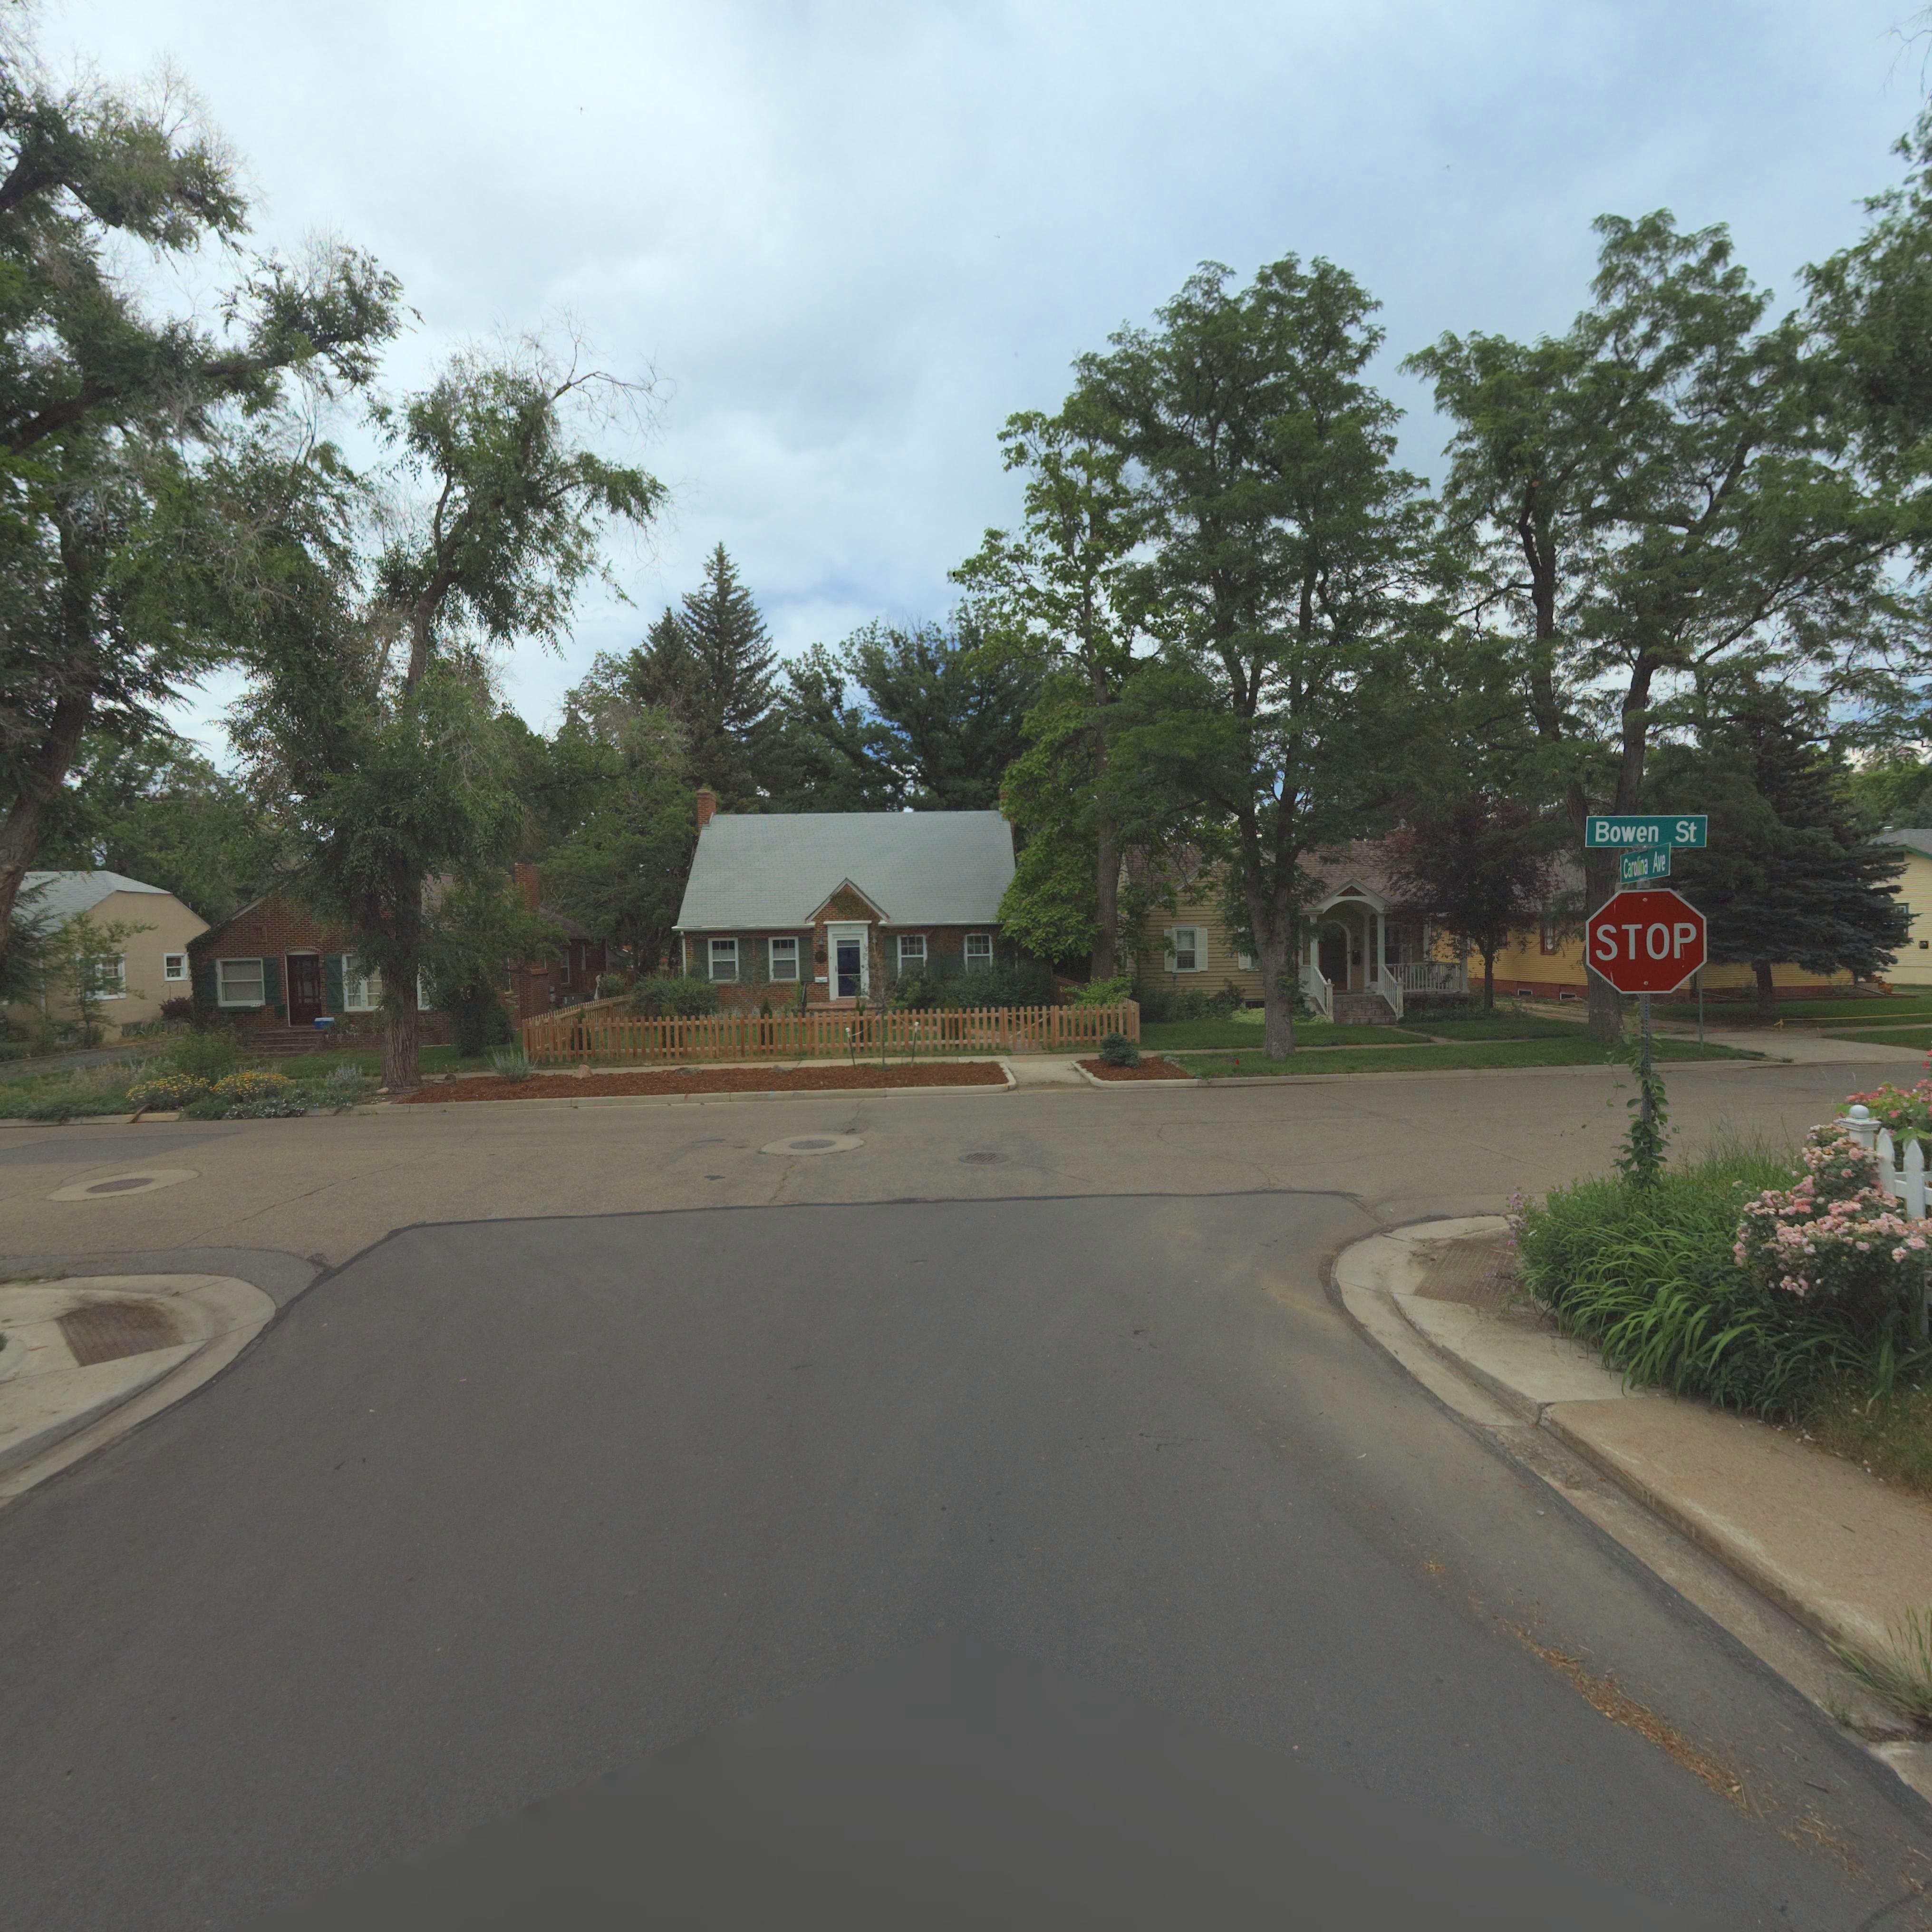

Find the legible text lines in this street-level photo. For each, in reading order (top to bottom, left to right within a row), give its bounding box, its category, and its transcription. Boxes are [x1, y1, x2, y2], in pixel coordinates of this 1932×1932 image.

[1595, 821, 1696, 841] StreetName: Bowen St
[1623, 851, 1666, 879] StreetName: Carolina Ave
[844, 925, 852, 930] StreetNumber: *2*